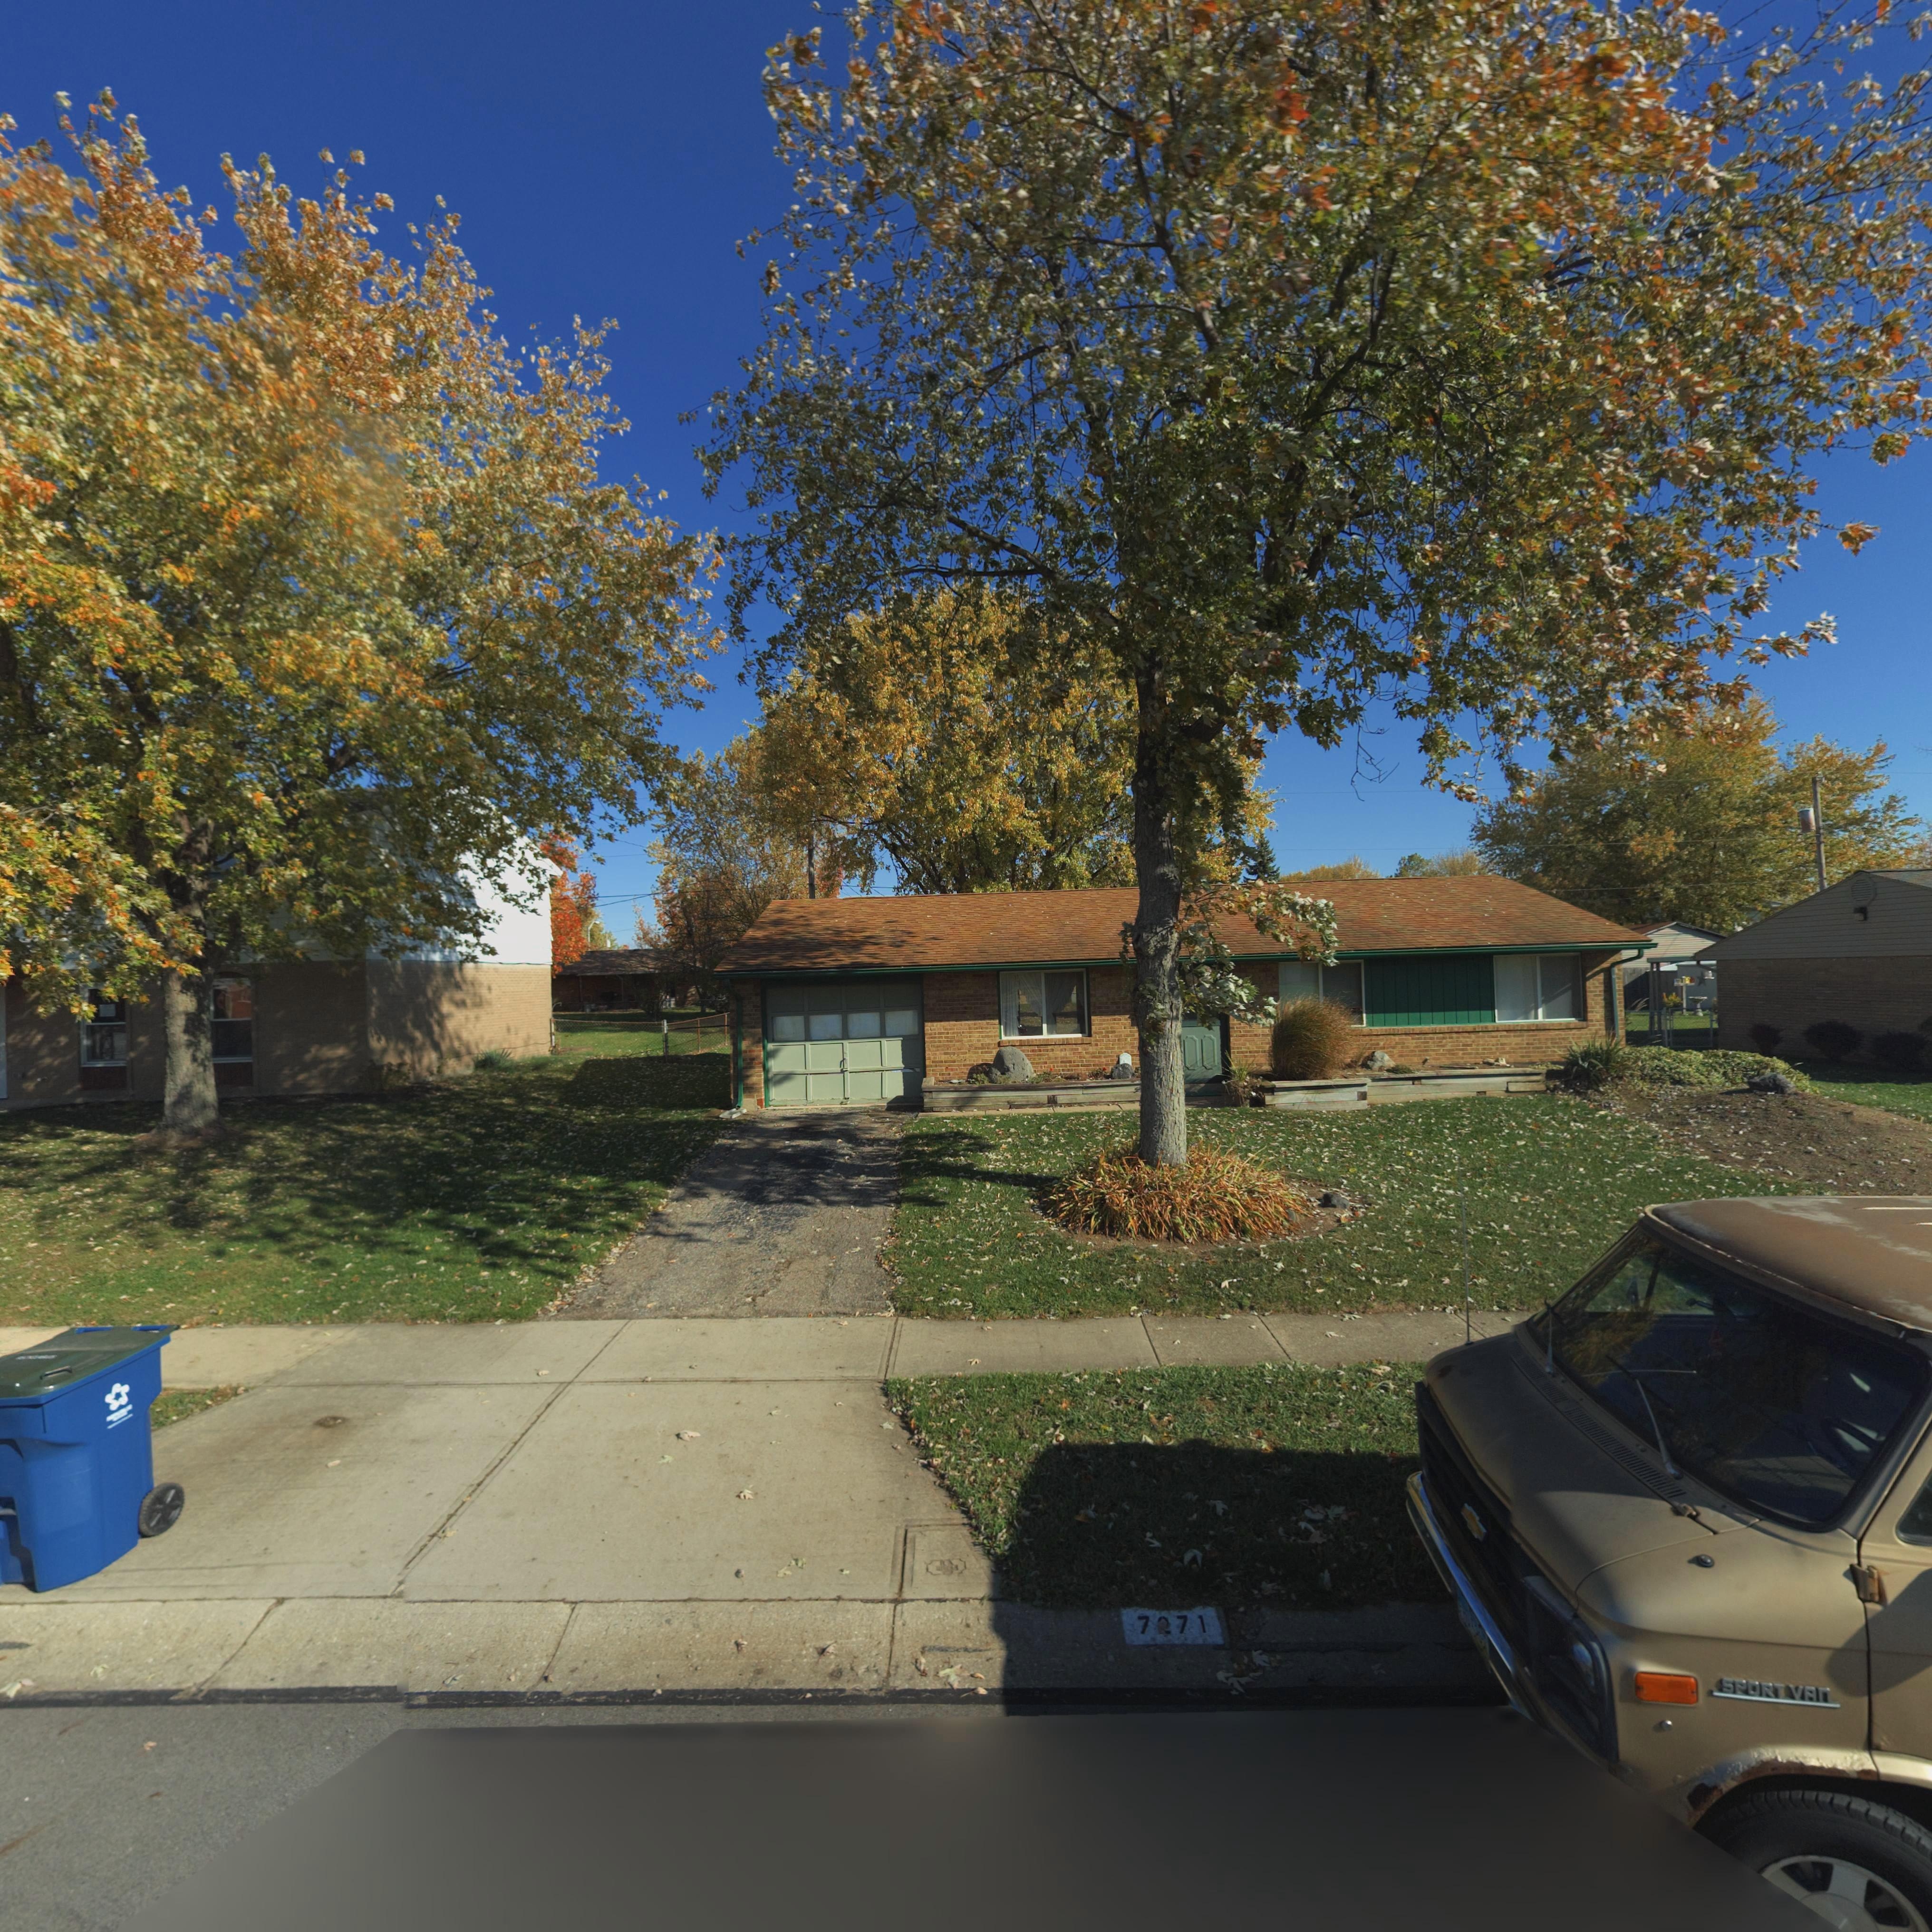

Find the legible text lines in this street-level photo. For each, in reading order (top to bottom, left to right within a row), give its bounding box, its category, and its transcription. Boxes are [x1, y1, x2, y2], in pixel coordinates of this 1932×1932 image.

[1134, 1612, 1209, 1637] StreetNumber: 7*71